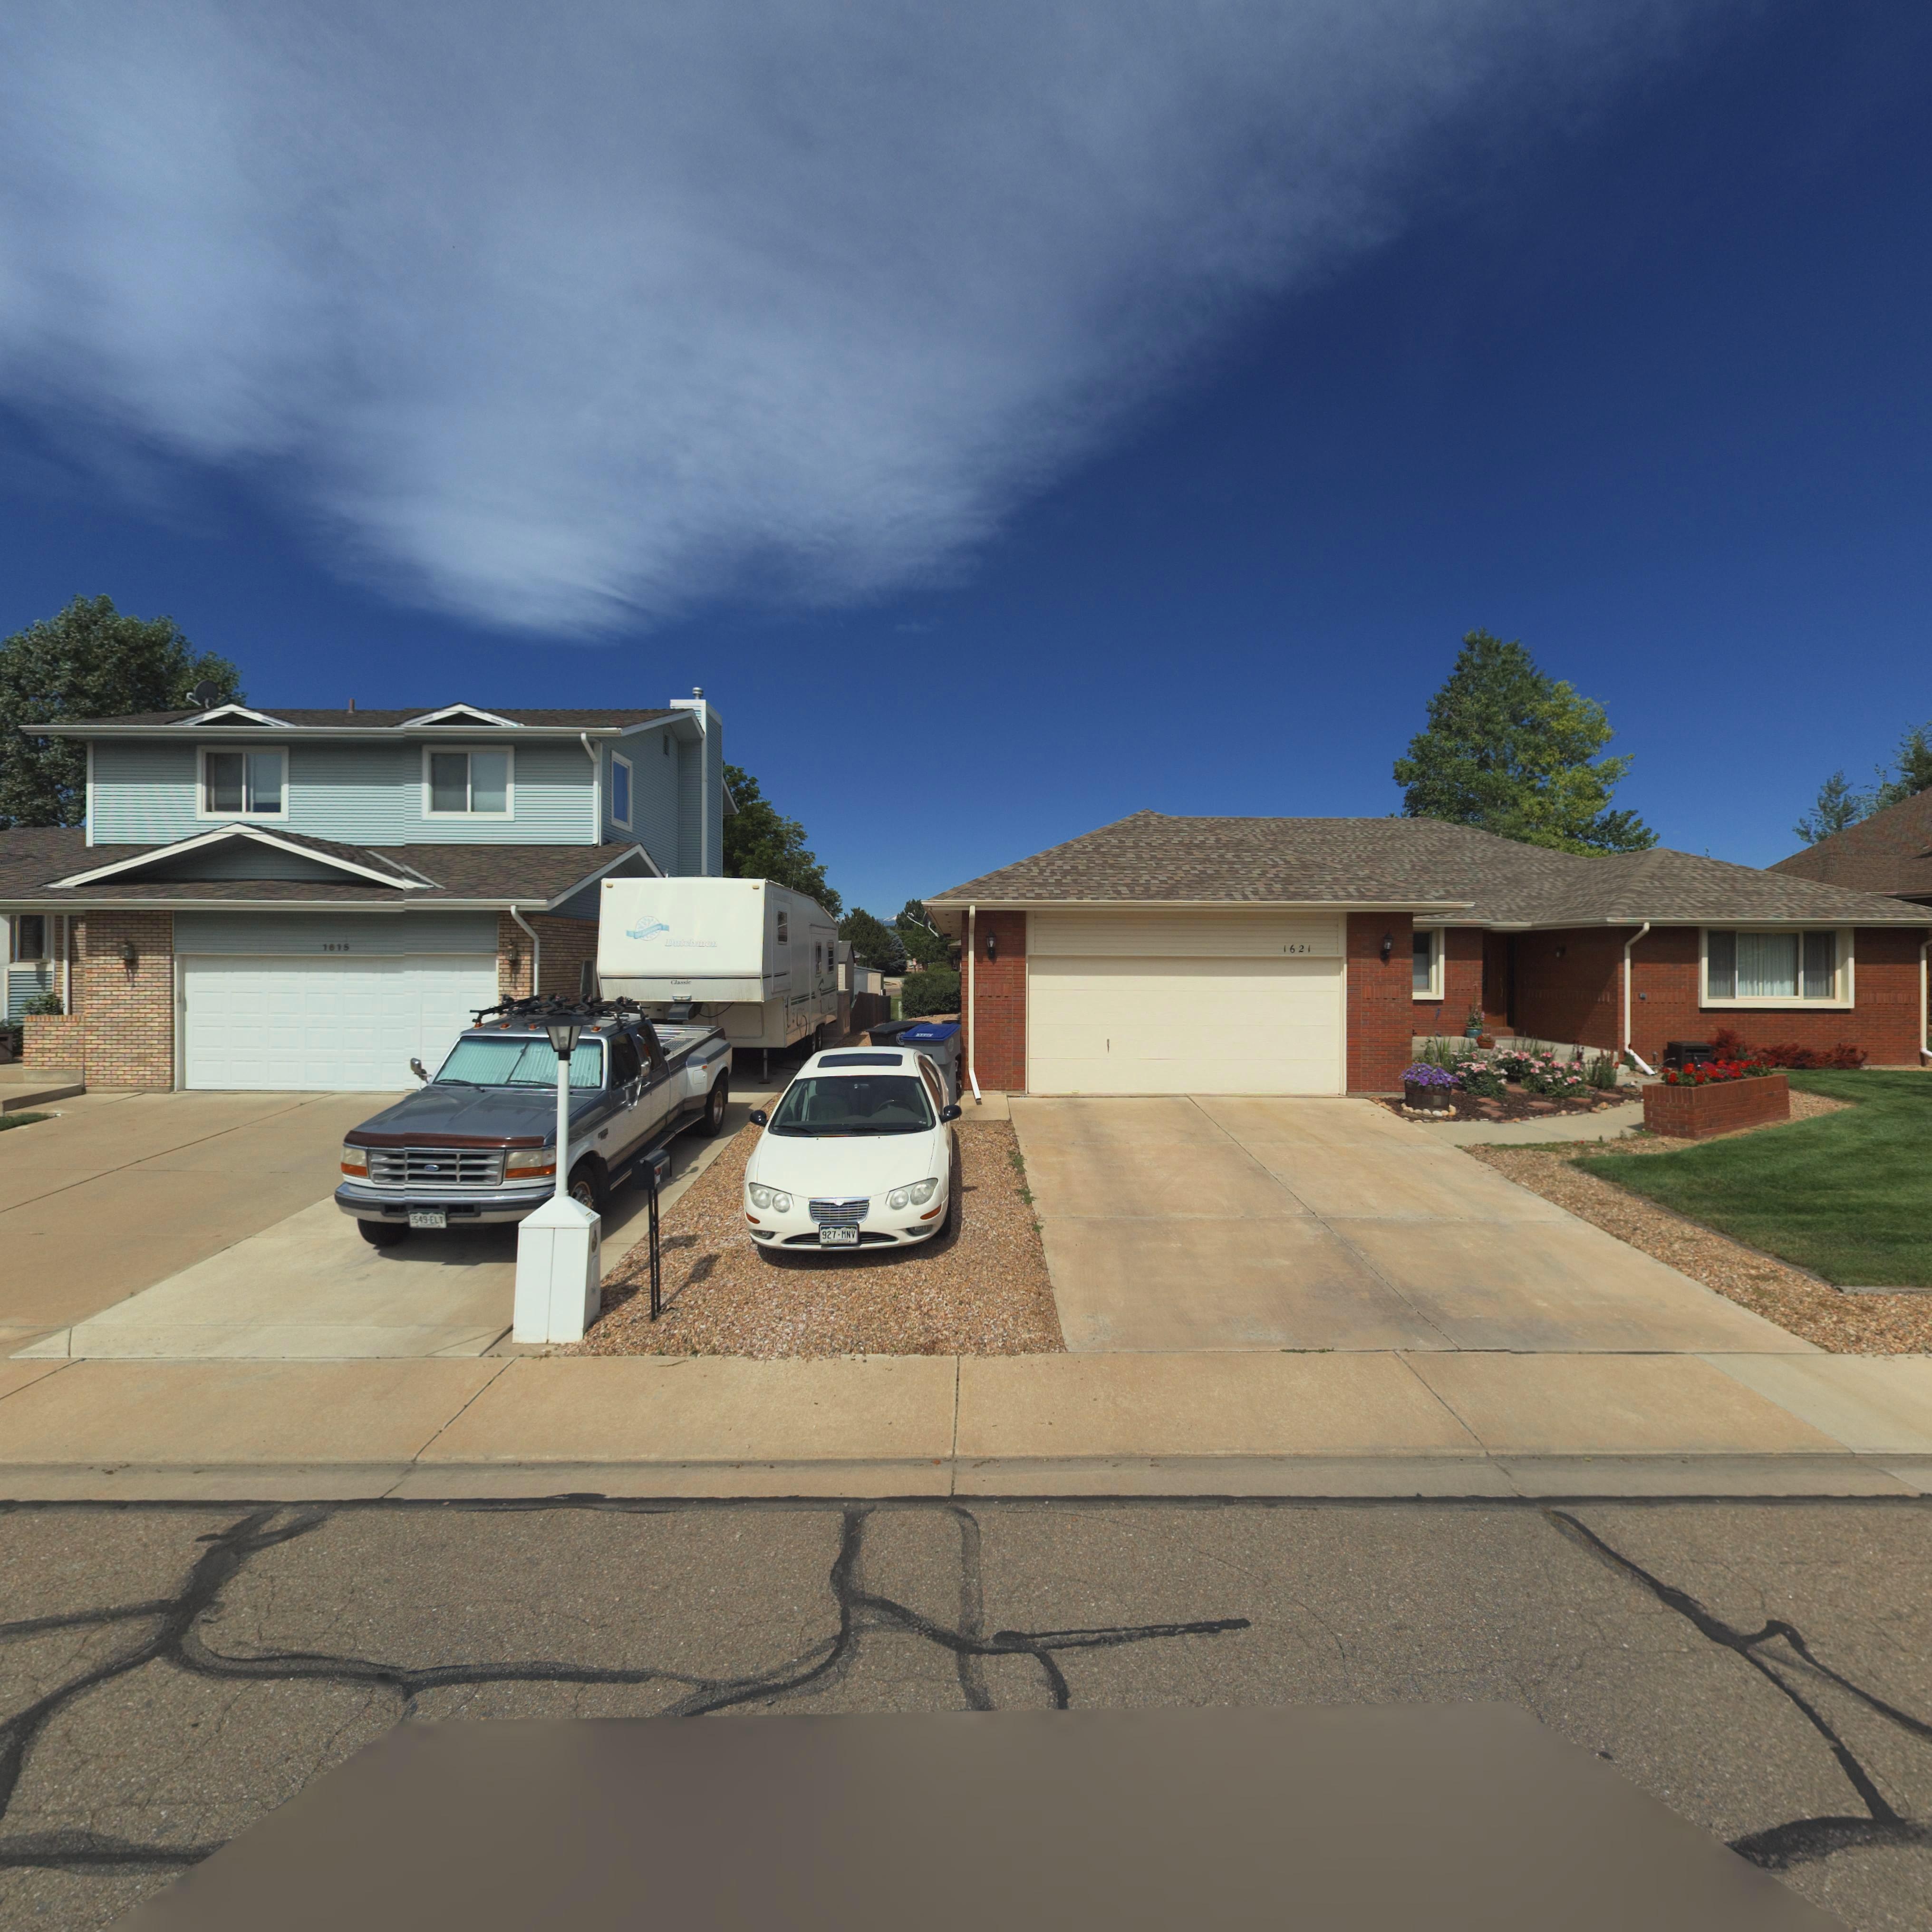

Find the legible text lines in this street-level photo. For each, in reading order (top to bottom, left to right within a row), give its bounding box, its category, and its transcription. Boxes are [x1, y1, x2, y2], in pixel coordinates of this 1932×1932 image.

[321, 943, 350, 952] StreetNumber: 1615
[1282, 943, 1312, 954] StreetNumber: 1621